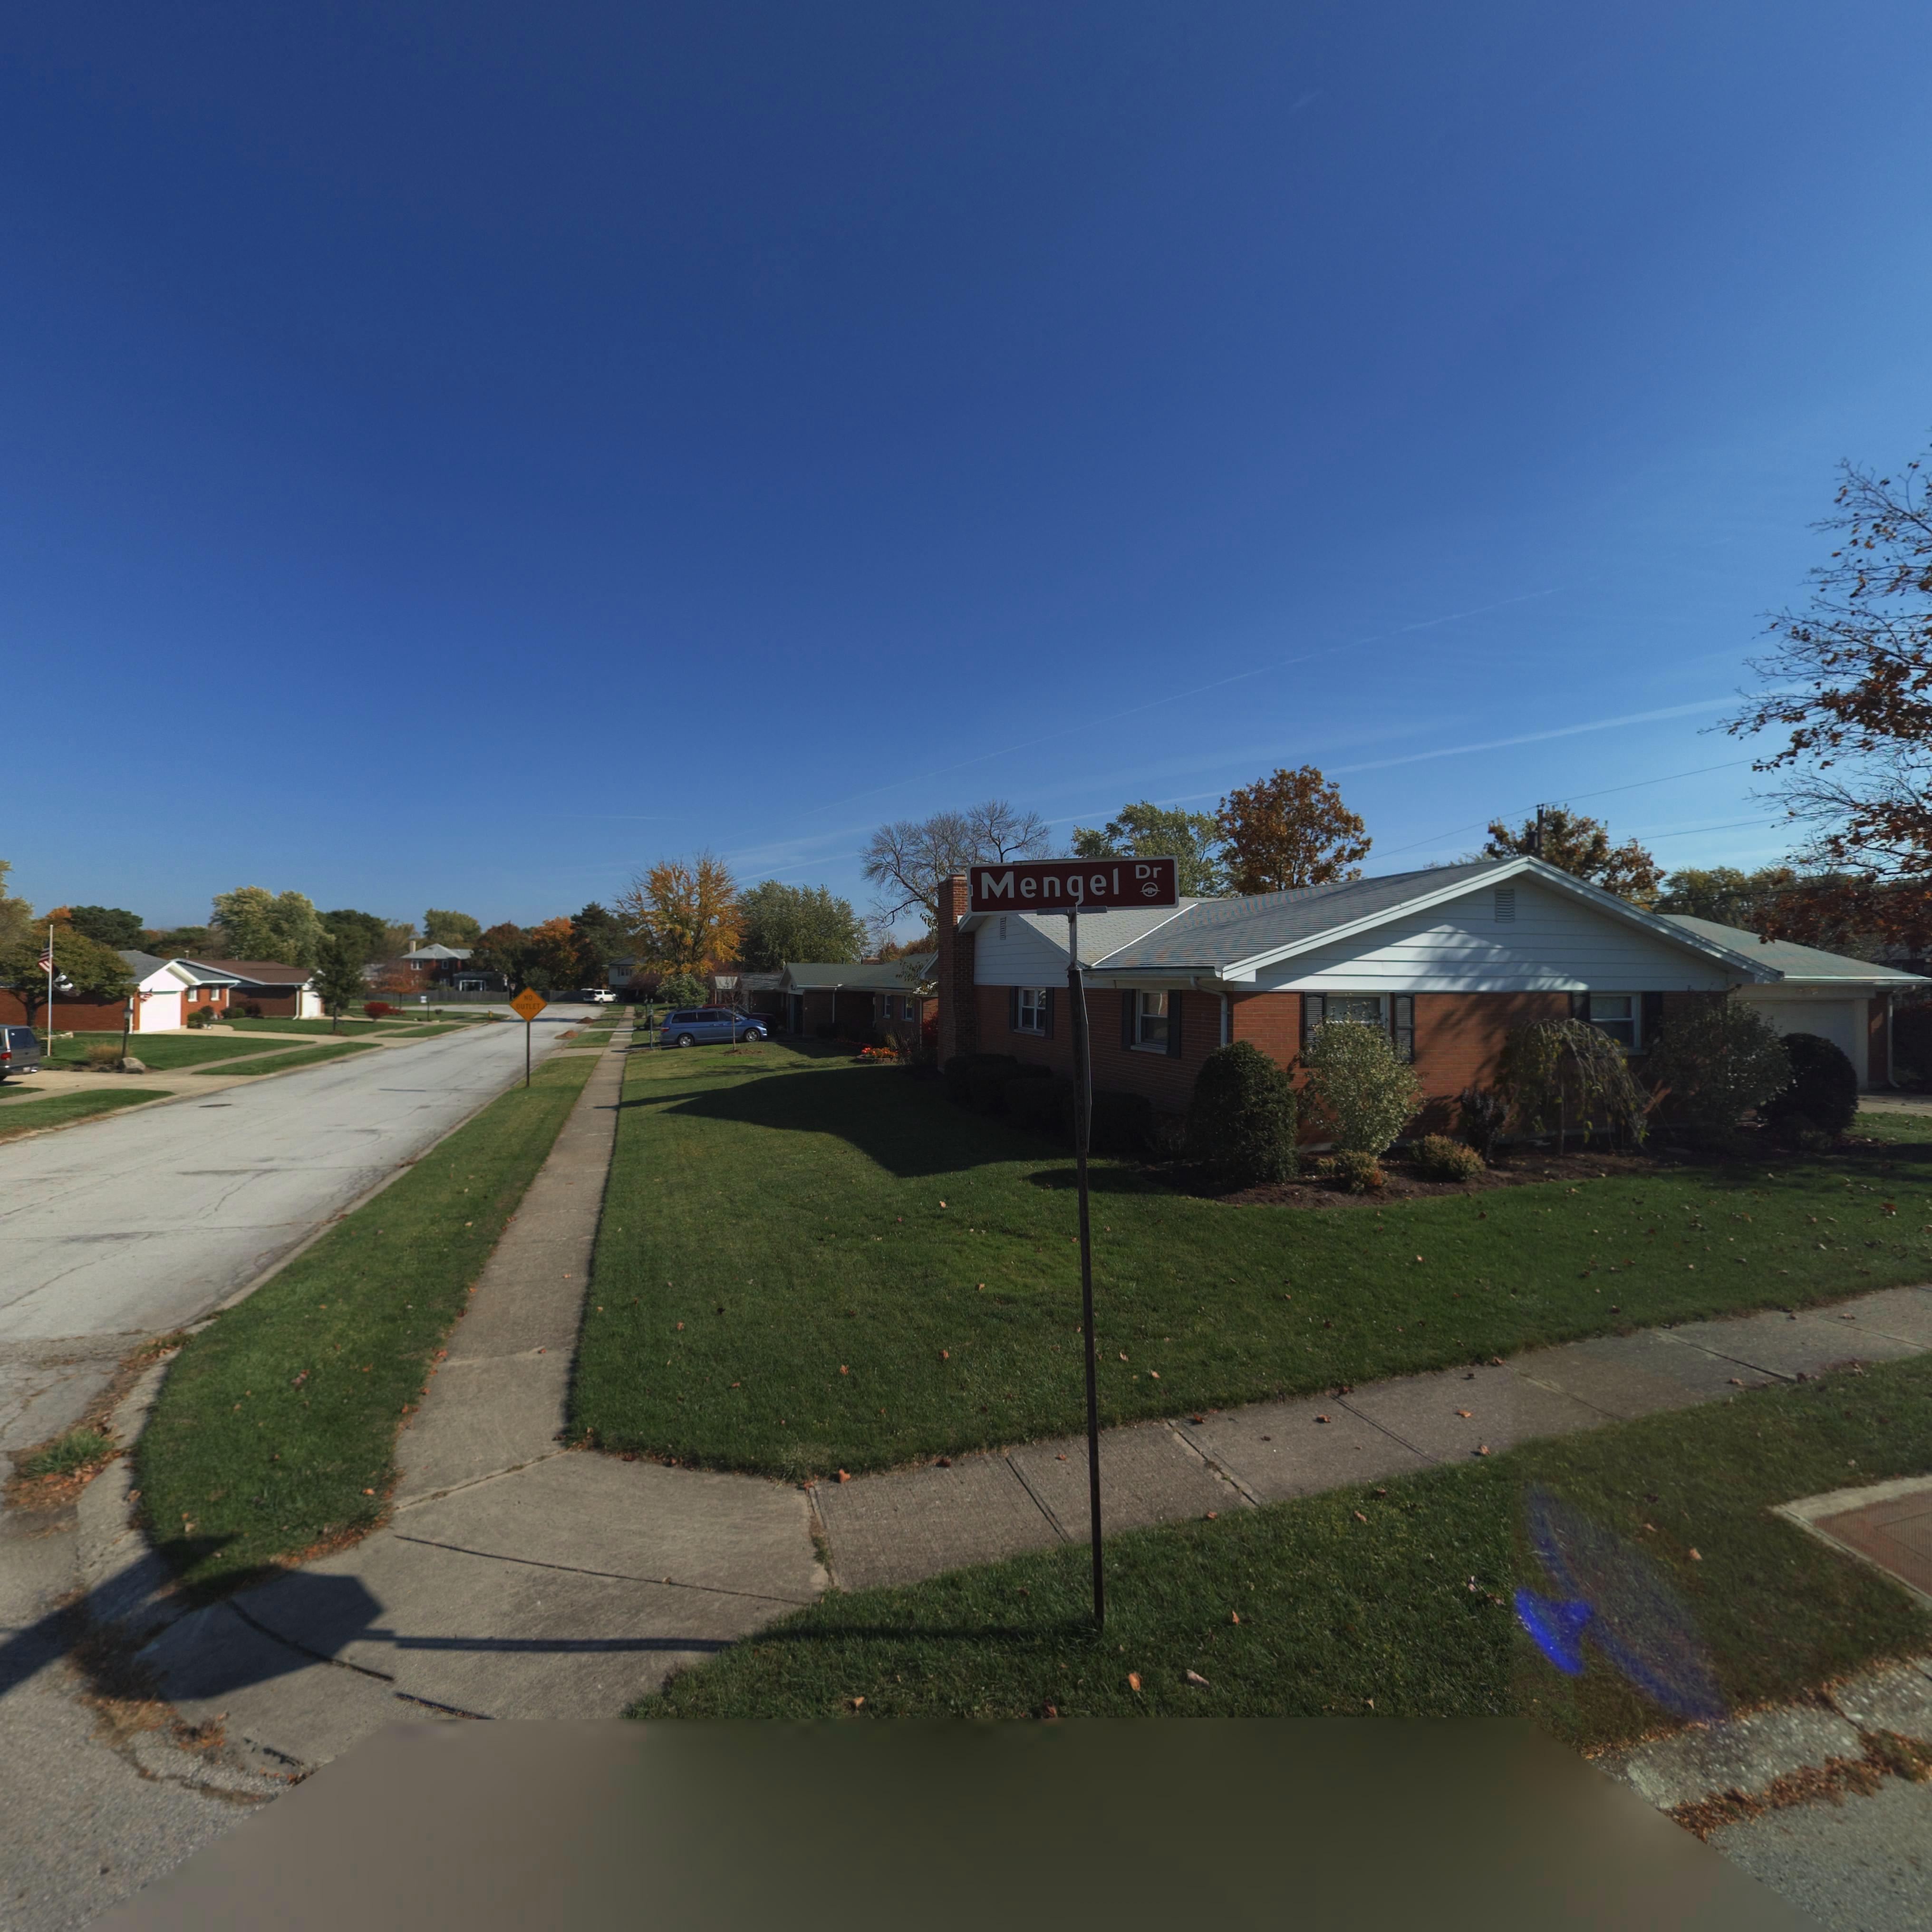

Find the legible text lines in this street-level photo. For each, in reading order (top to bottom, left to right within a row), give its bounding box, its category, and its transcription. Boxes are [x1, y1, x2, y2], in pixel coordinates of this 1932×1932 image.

[979, 864, 1163, 907] StreetName: Mengel Dr